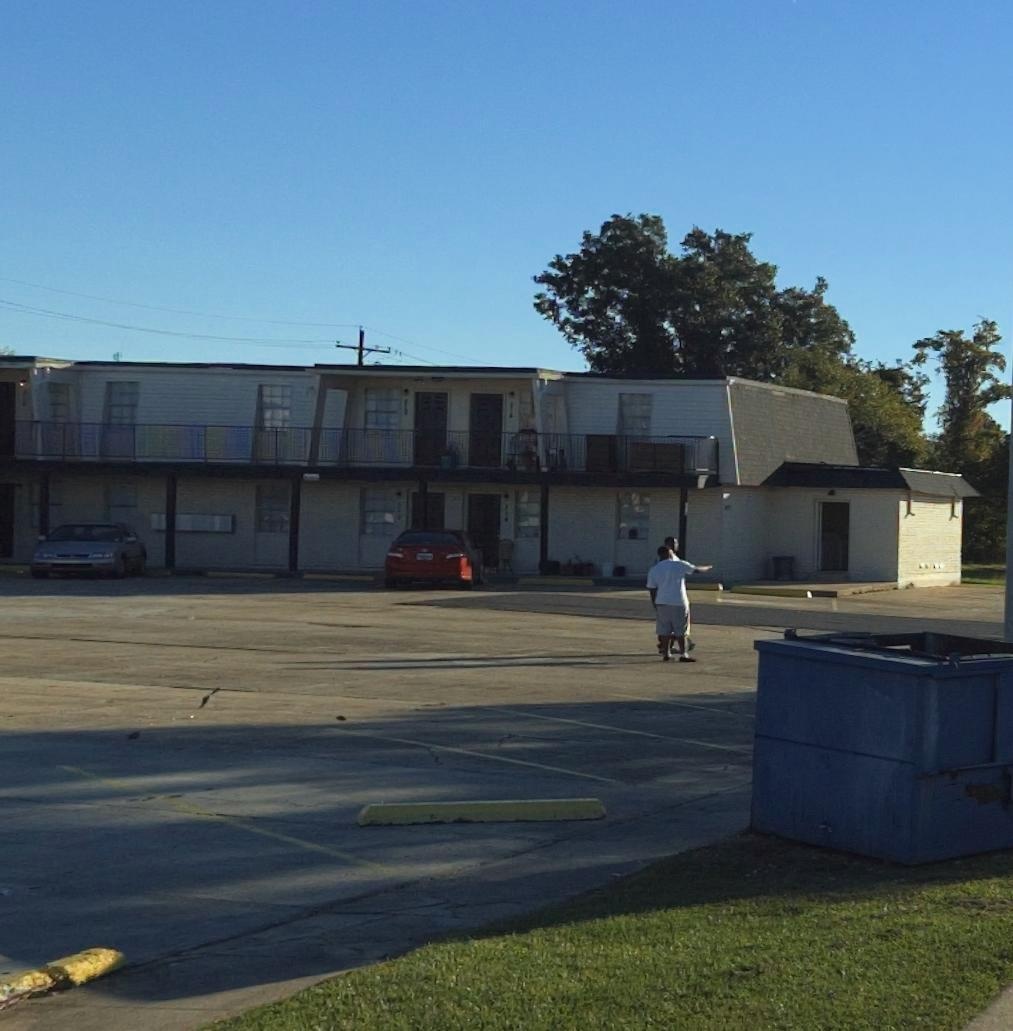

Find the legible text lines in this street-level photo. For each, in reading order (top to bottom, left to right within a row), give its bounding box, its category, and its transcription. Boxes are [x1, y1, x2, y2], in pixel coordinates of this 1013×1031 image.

[503, 502, 510, 524] StreetNumber: 11*